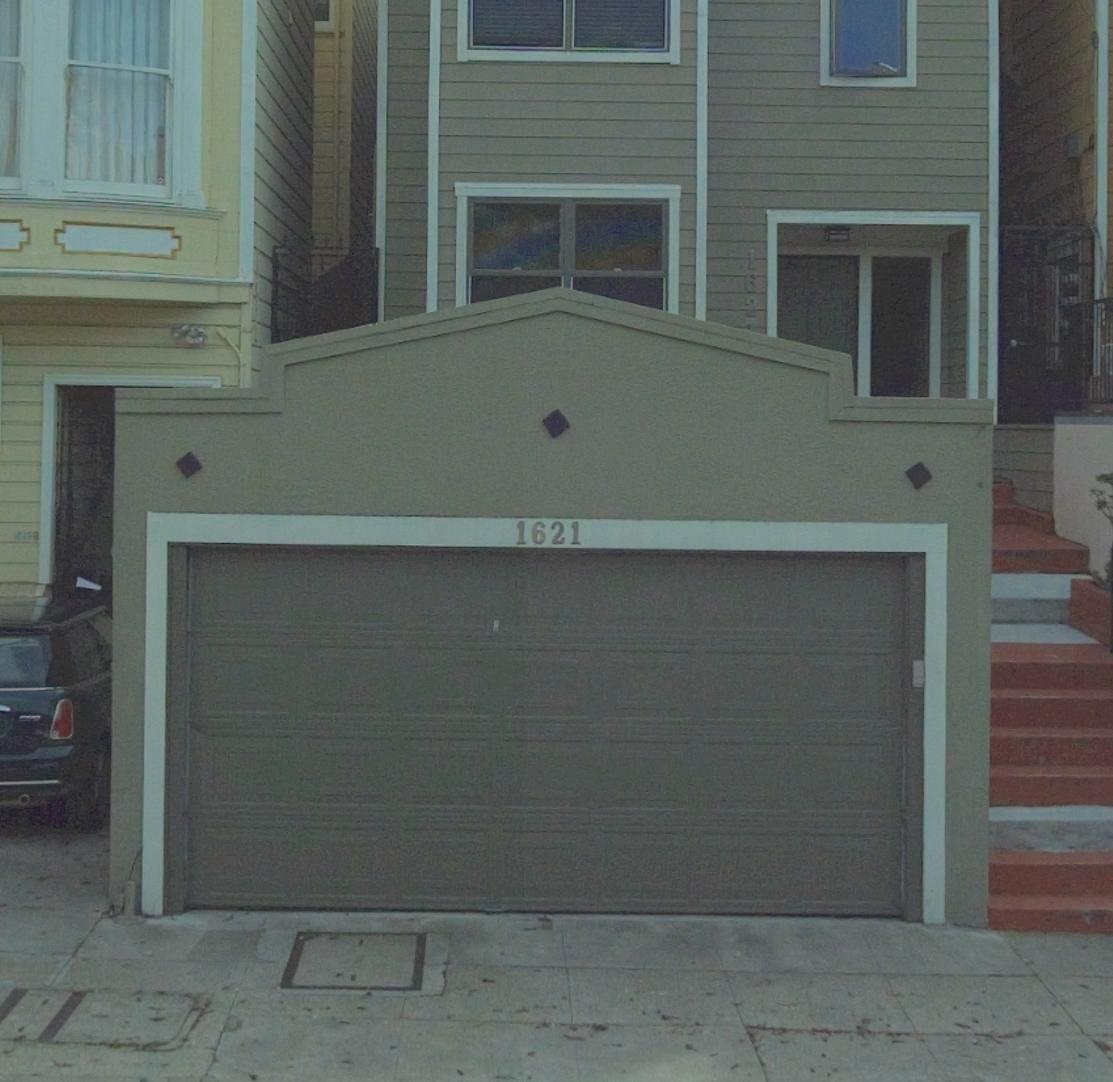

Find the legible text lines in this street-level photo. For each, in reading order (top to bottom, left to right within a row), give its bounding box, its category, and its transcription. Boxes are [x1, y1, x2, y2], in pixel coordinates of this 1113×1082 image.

[513, 519, 583, 548] StreetNumber: 1621